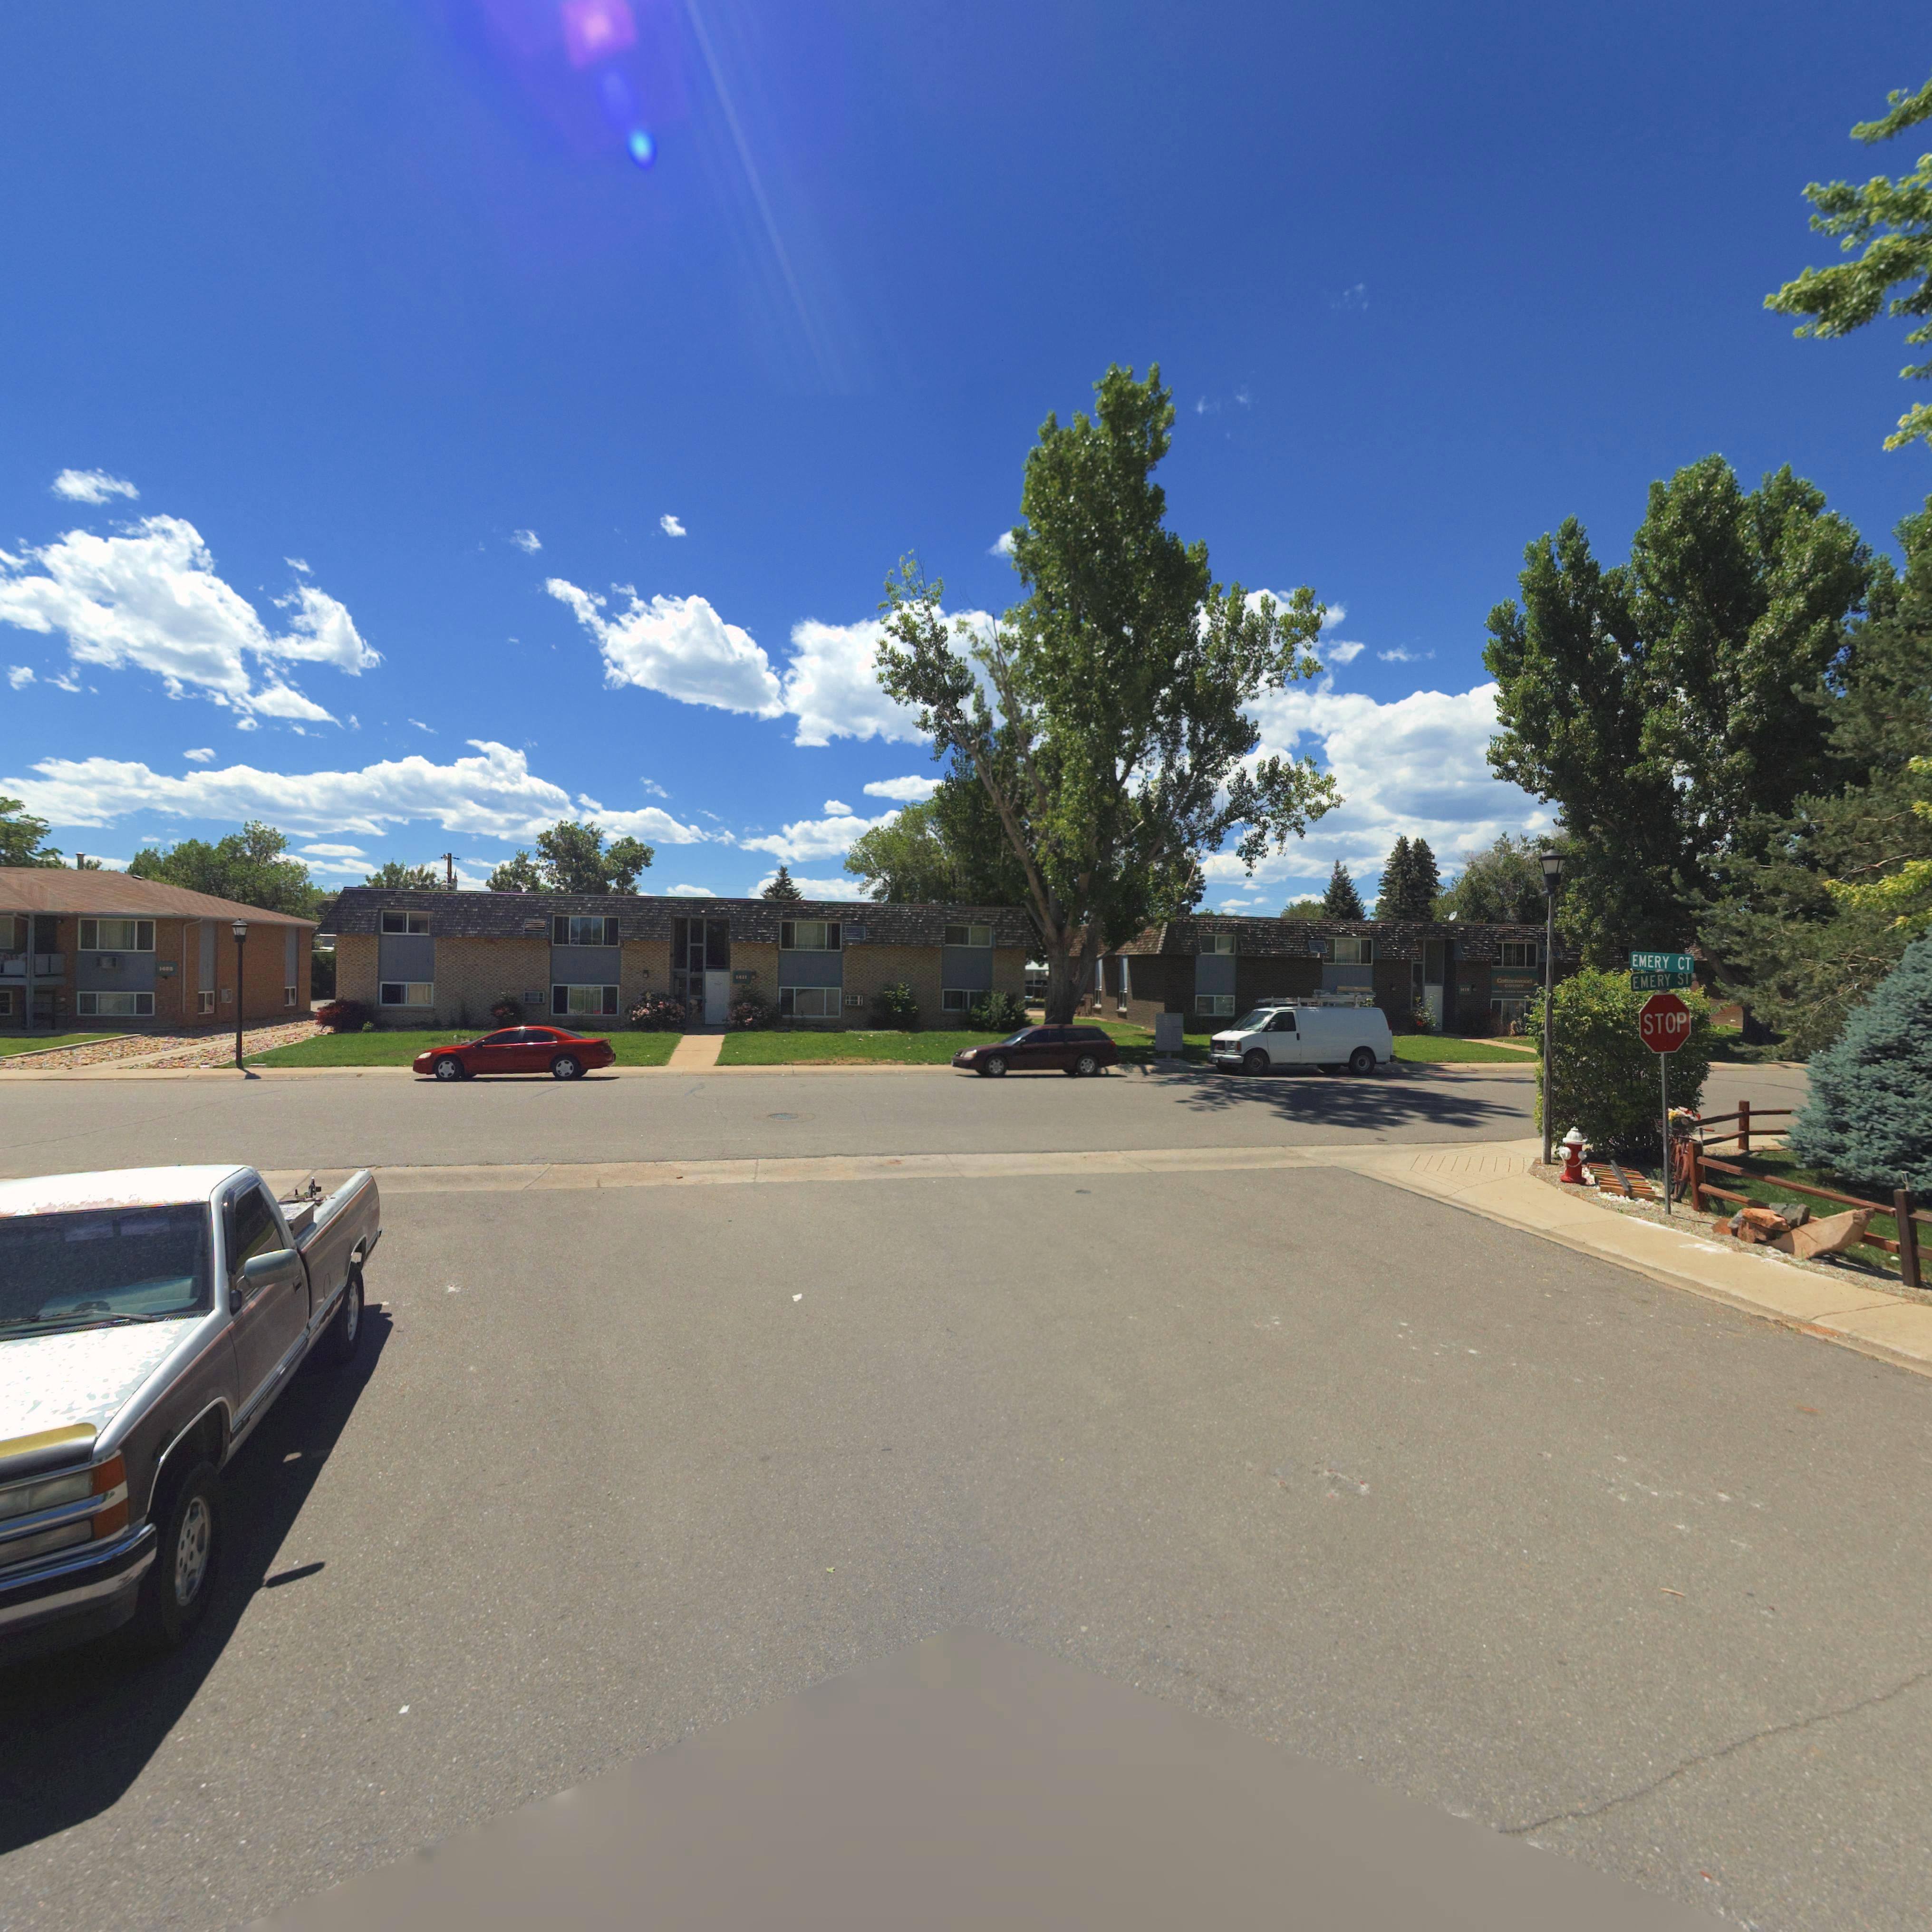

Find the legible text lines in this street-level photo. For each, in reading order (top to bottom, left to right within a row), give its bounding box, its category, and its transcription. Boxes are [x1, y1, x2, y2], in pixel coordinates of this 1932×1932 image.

[1632, 953, 1691, 971] StreetName: EMERY CT
[159, 966, 173, 971] StreetNumber: 1403
[735, 975, 747, 979] StreetNumber: 1411
[1496, 977, 1532, 983] BusinessName: Cottonwood
[1633, 972, 1690, 989] StreetName: EMERY ST
[1504, 984, 1524, 987] BusinessName: COURT
[1460, 987, 1469, 992] StreetNumber: 1419
[1492, 990, 1502, 993] StreetNumber: 1***
[1506, 990, 1516, 993] StreetNumber: 1***
[1517, 990, 1535, 994] StreetName: EMERY S